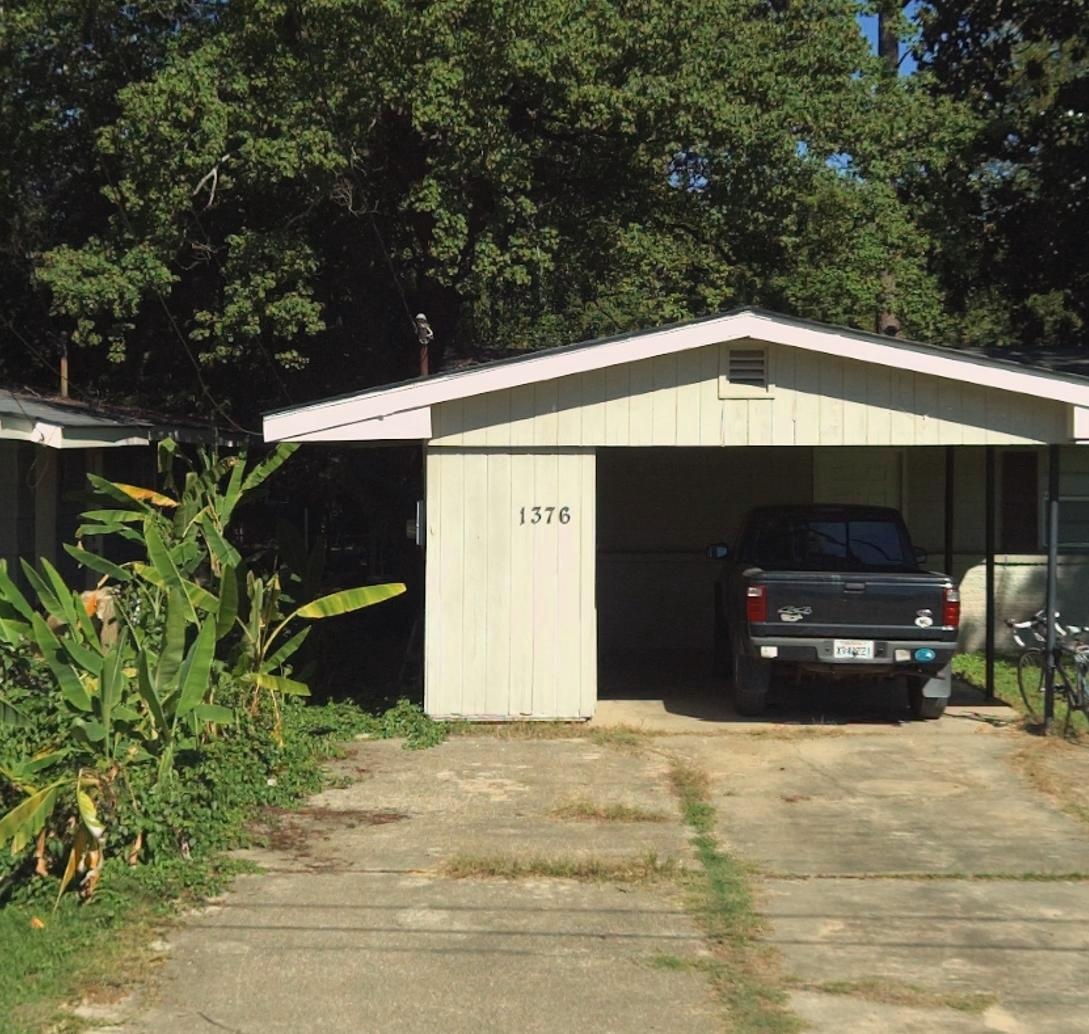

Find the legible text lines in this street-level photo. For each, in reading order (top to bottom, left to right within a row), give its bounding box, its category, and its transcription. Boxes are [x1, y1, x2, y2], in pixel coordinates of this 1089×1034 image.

[518, 505, 571, 526] StreetNumber: 1376
[836, 645, 871, 657] None: X94*221